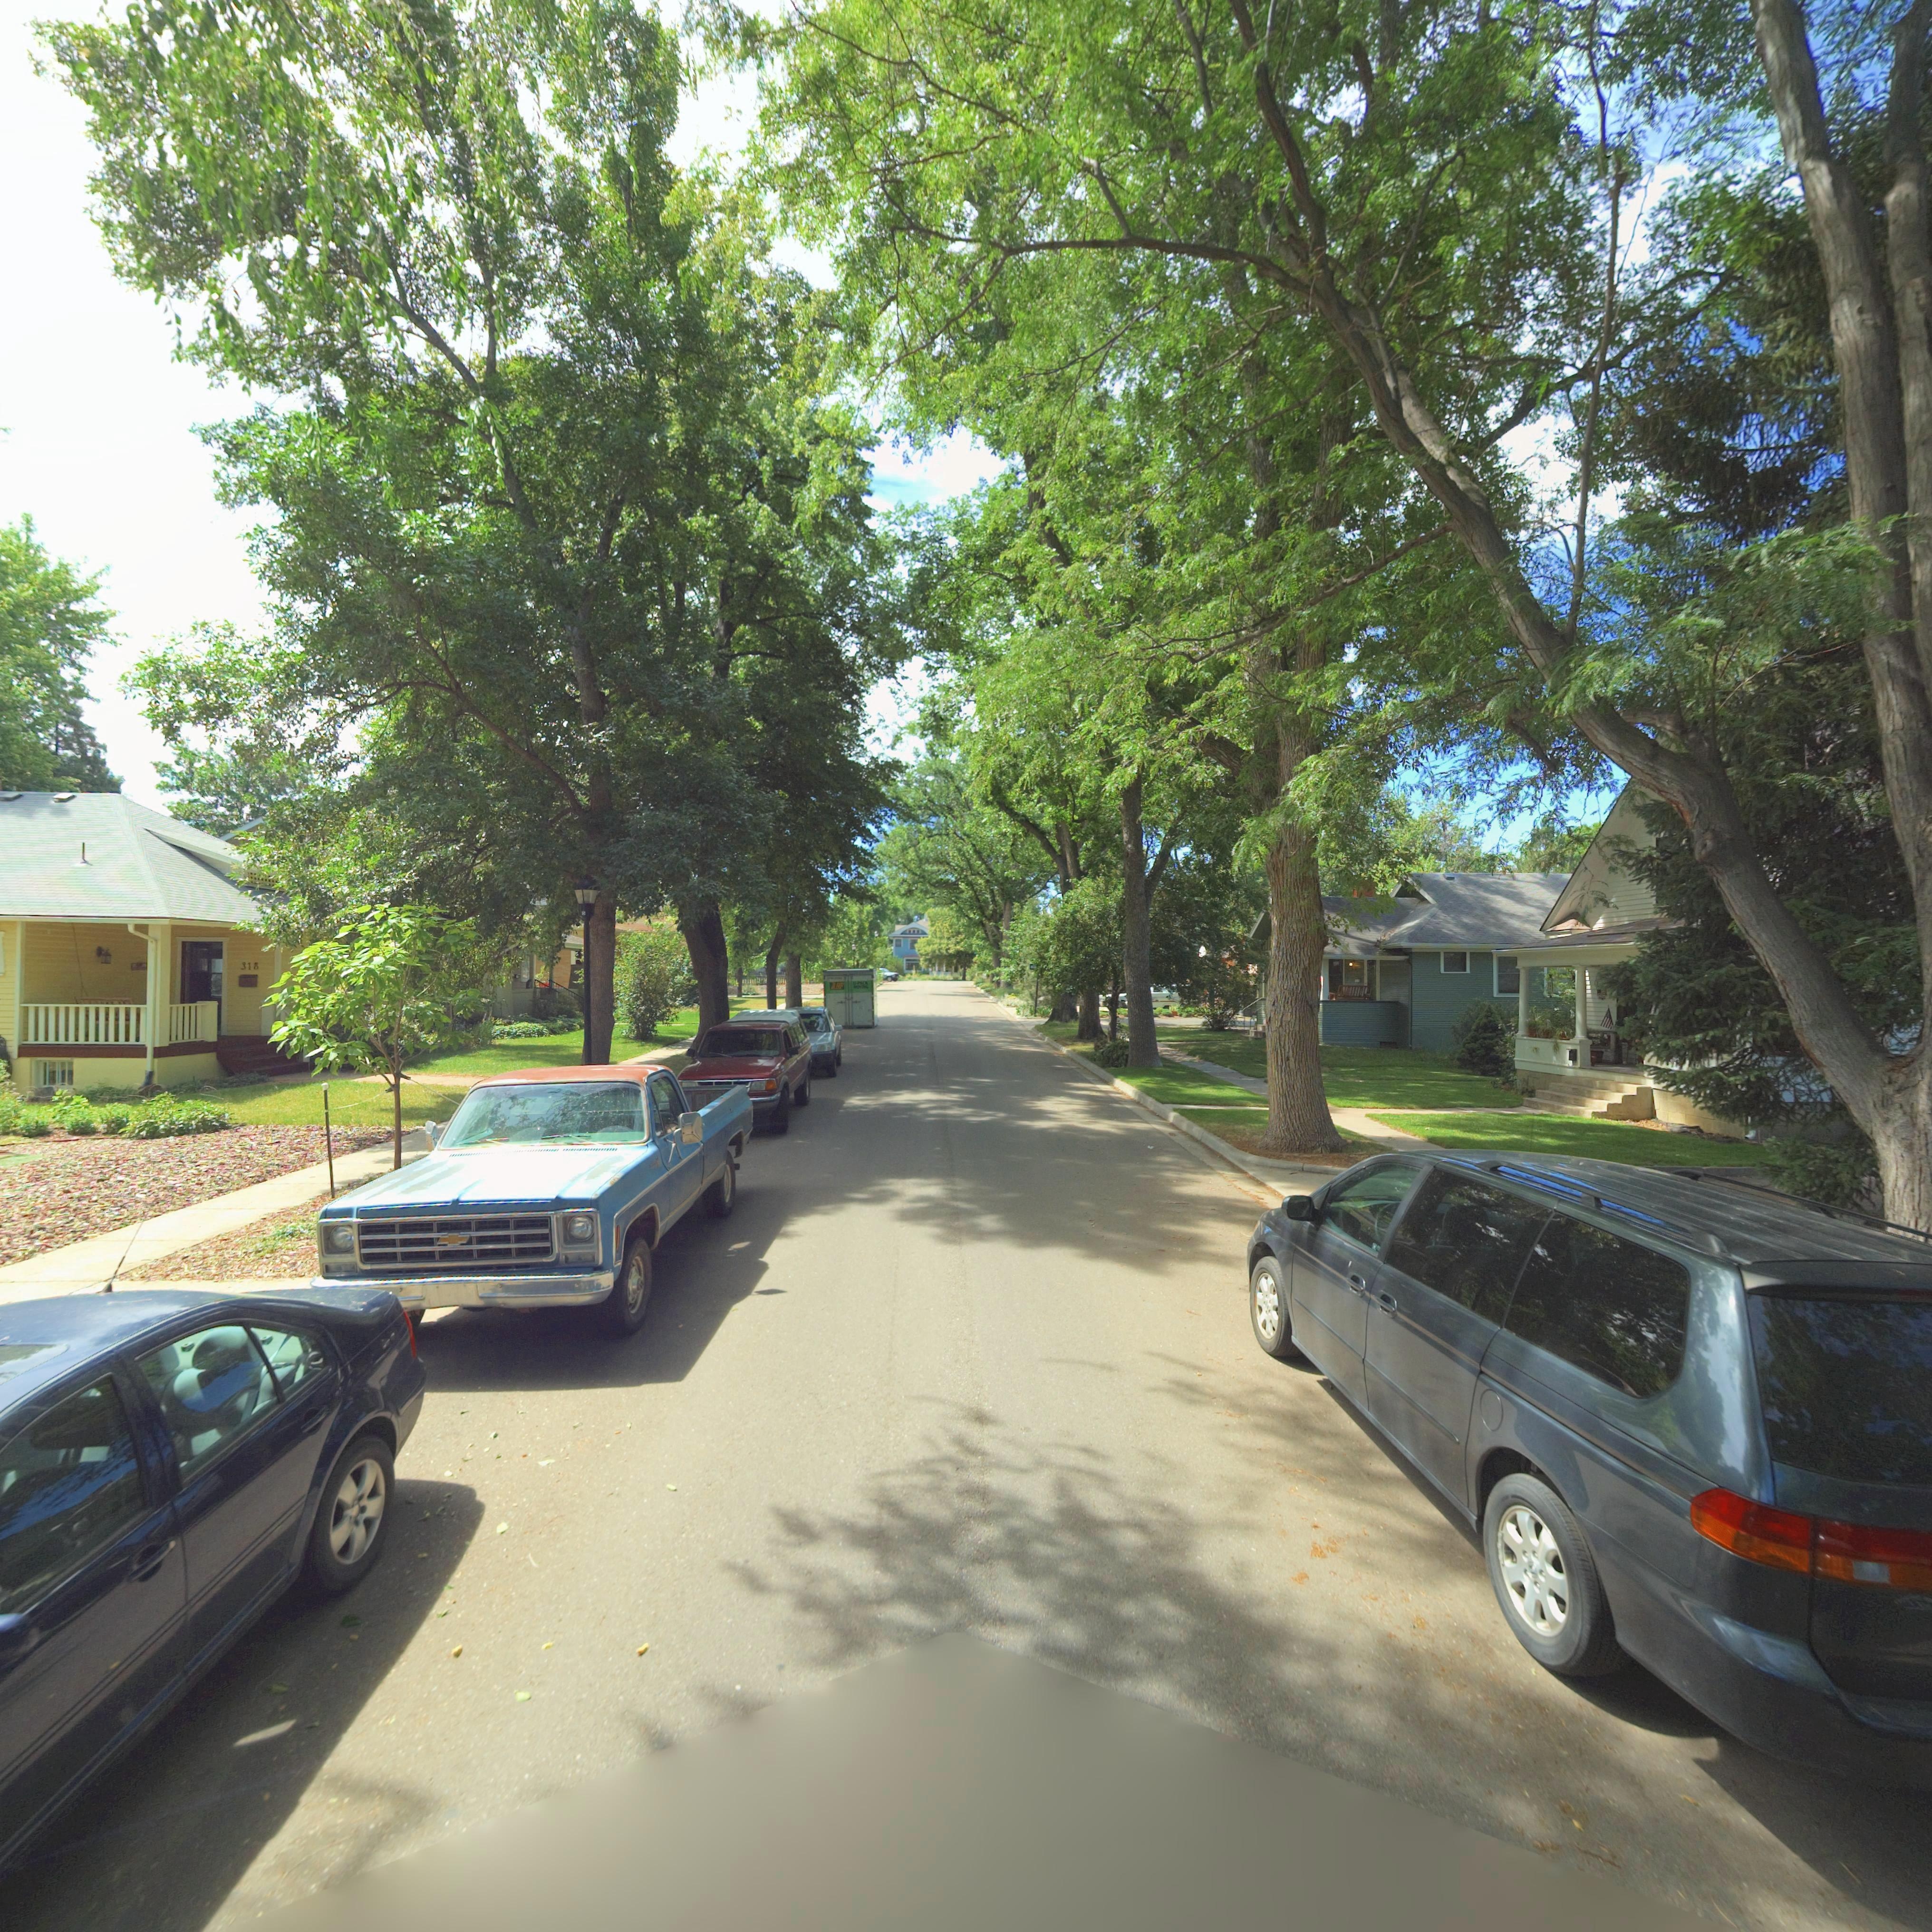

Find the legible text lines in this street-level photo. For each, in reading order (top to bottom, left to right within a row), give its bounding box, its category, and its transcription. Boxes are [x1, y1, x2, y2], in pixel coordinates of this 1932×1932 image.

[240, 961, 259, 970] StreetNumber: 318